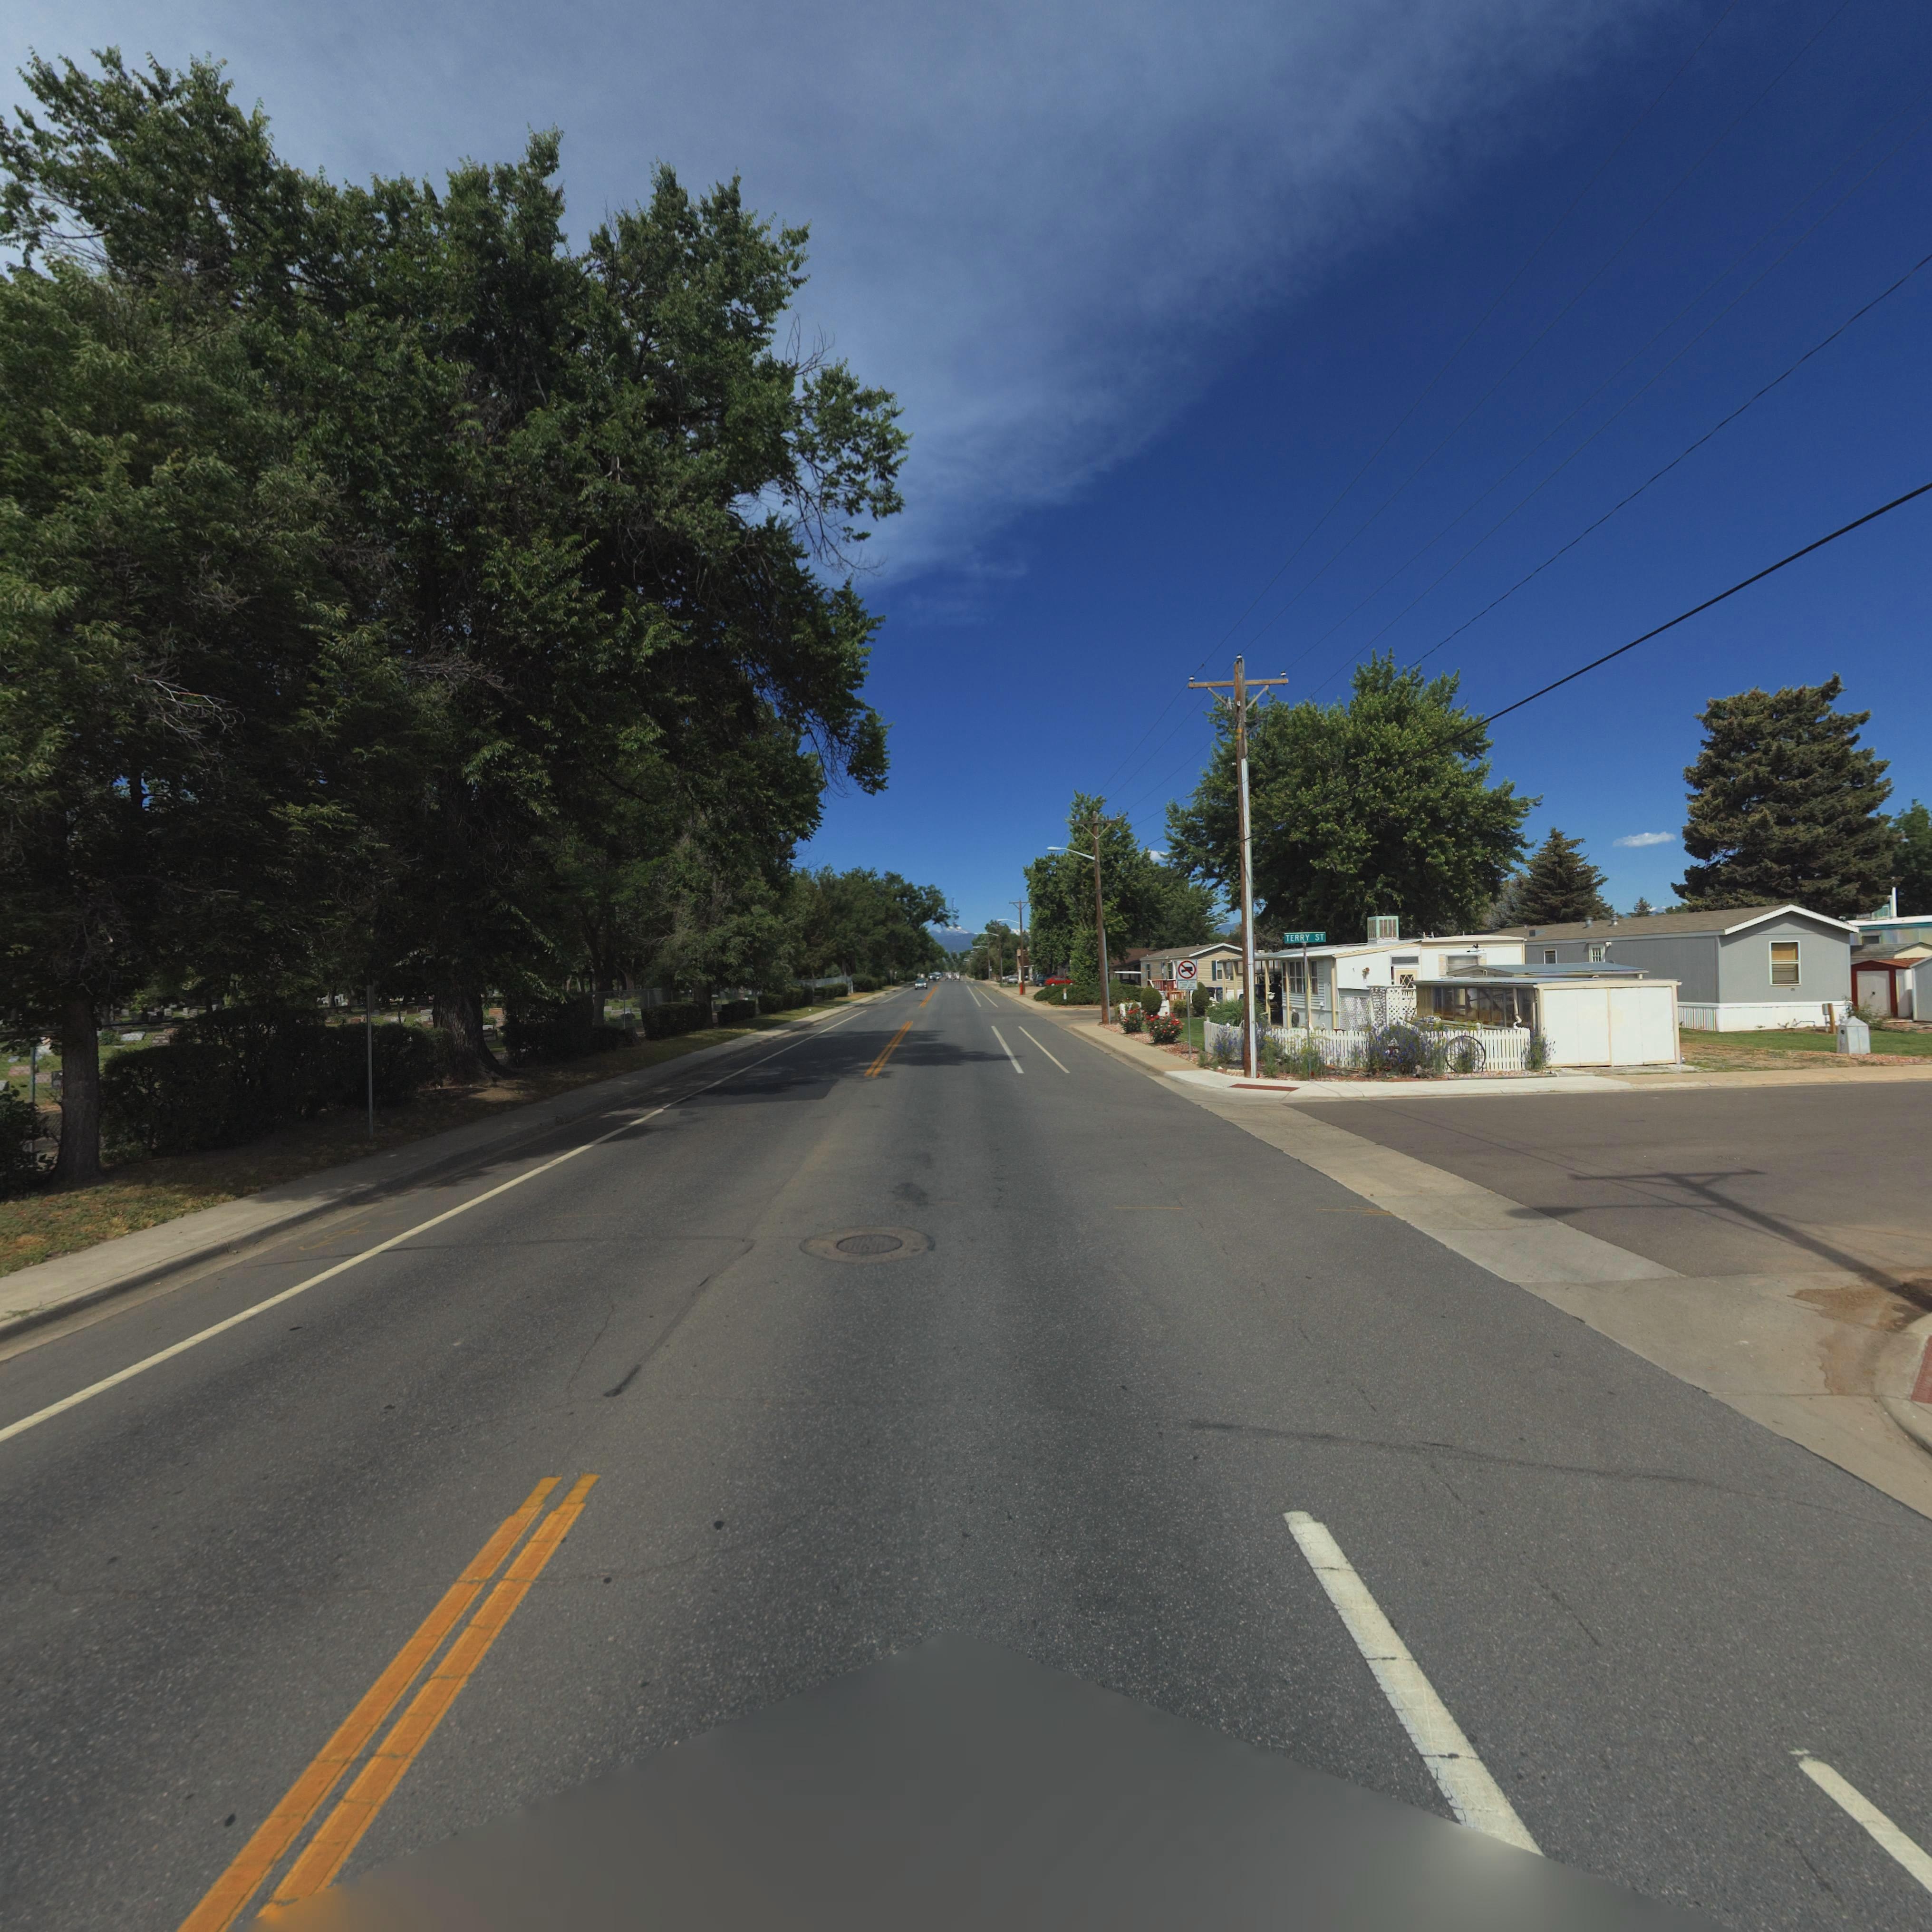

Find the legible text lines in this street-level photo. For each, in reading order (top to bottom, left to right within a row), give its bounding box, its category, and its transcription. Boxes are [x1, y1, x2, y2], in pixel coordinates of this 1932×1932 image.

[1285, 933, 1324, 942] StreetName: TERRY ST